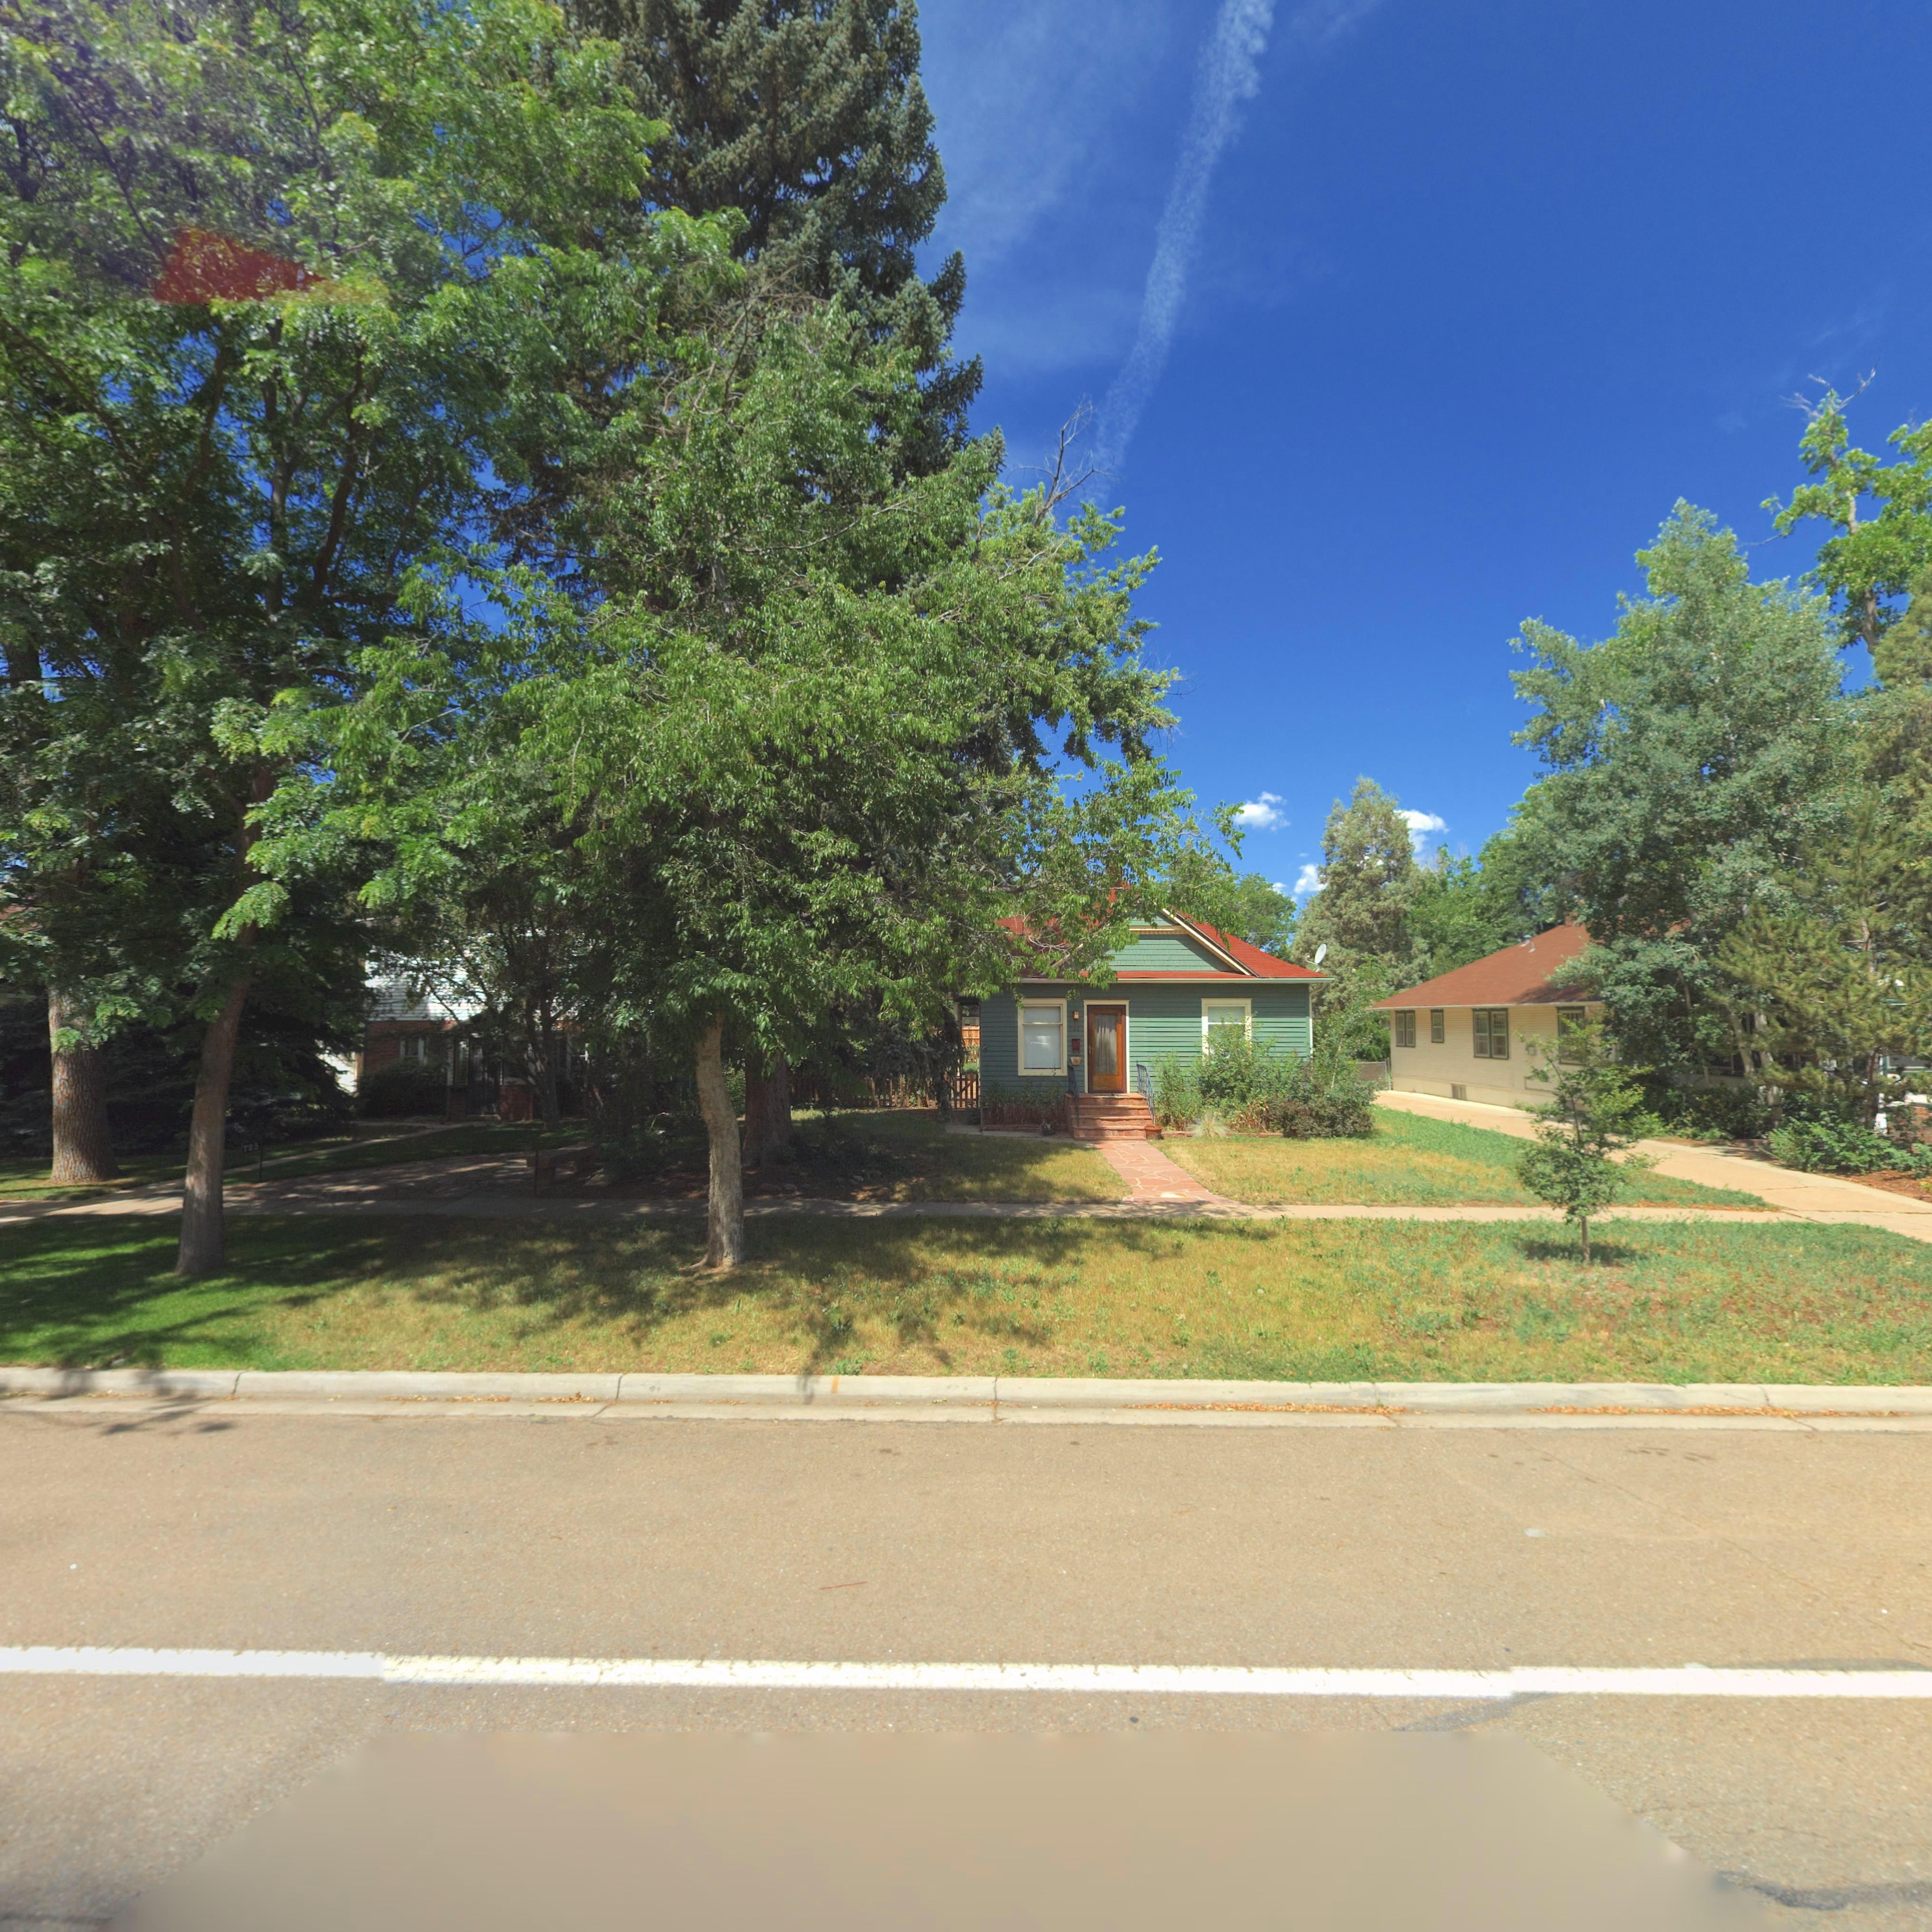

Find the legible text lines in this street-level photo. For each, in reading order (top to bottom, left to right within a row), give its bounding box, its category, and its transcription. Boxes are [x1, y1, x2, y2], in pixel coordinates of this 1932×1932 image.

[1069, 1026, 1079, 1031] StreetNumber: 741
[241, 1142, 259, 1153] StreetNumber: 725